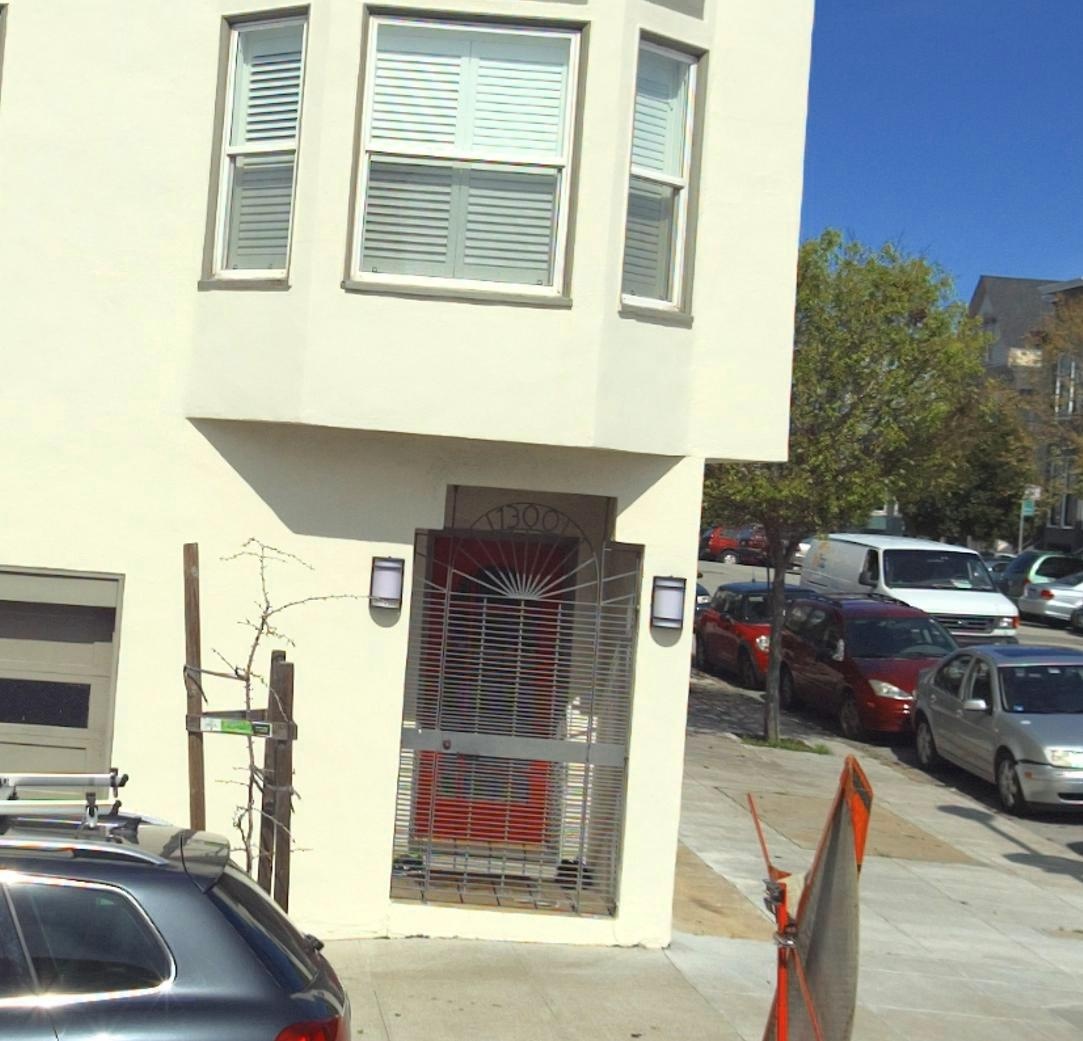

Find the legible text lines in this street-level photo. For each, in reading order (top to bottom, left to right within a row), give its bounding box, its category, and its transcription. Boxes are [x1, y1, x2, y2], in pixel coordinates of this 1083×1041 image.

[496, 503, 560, 532] StreetNumber: 1300